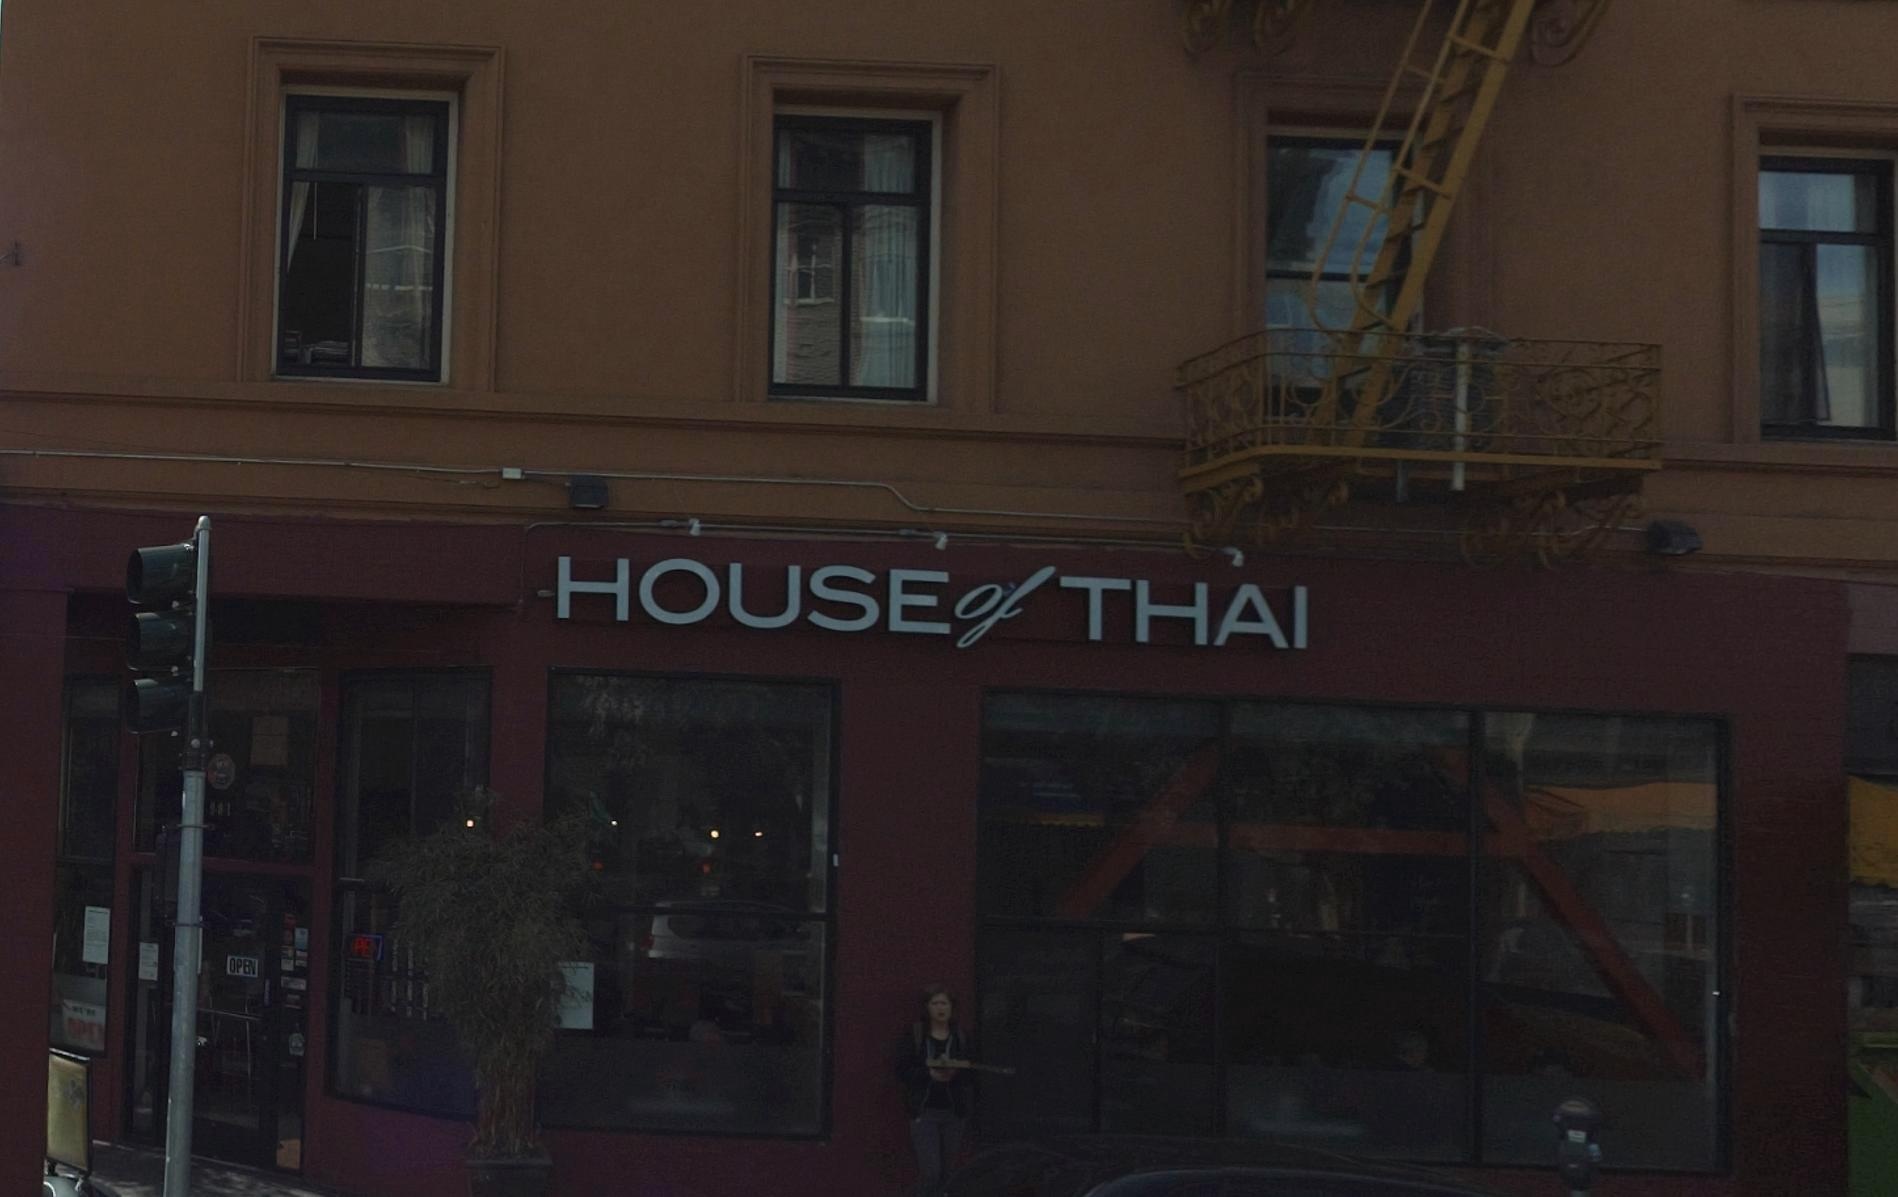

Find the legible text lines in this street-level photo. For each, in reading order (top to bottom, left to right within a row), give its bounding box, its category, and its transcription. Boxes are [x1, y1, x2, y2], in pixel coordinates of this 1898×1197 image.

[551, 552, 1315, 655] BusinessName: HOUSE of THAI
[207, 799, 234, 819] StreetNumber: 9*1
[351, 934, 375, 960] None: PE
[227, 956, 258, 978] None: OPEN